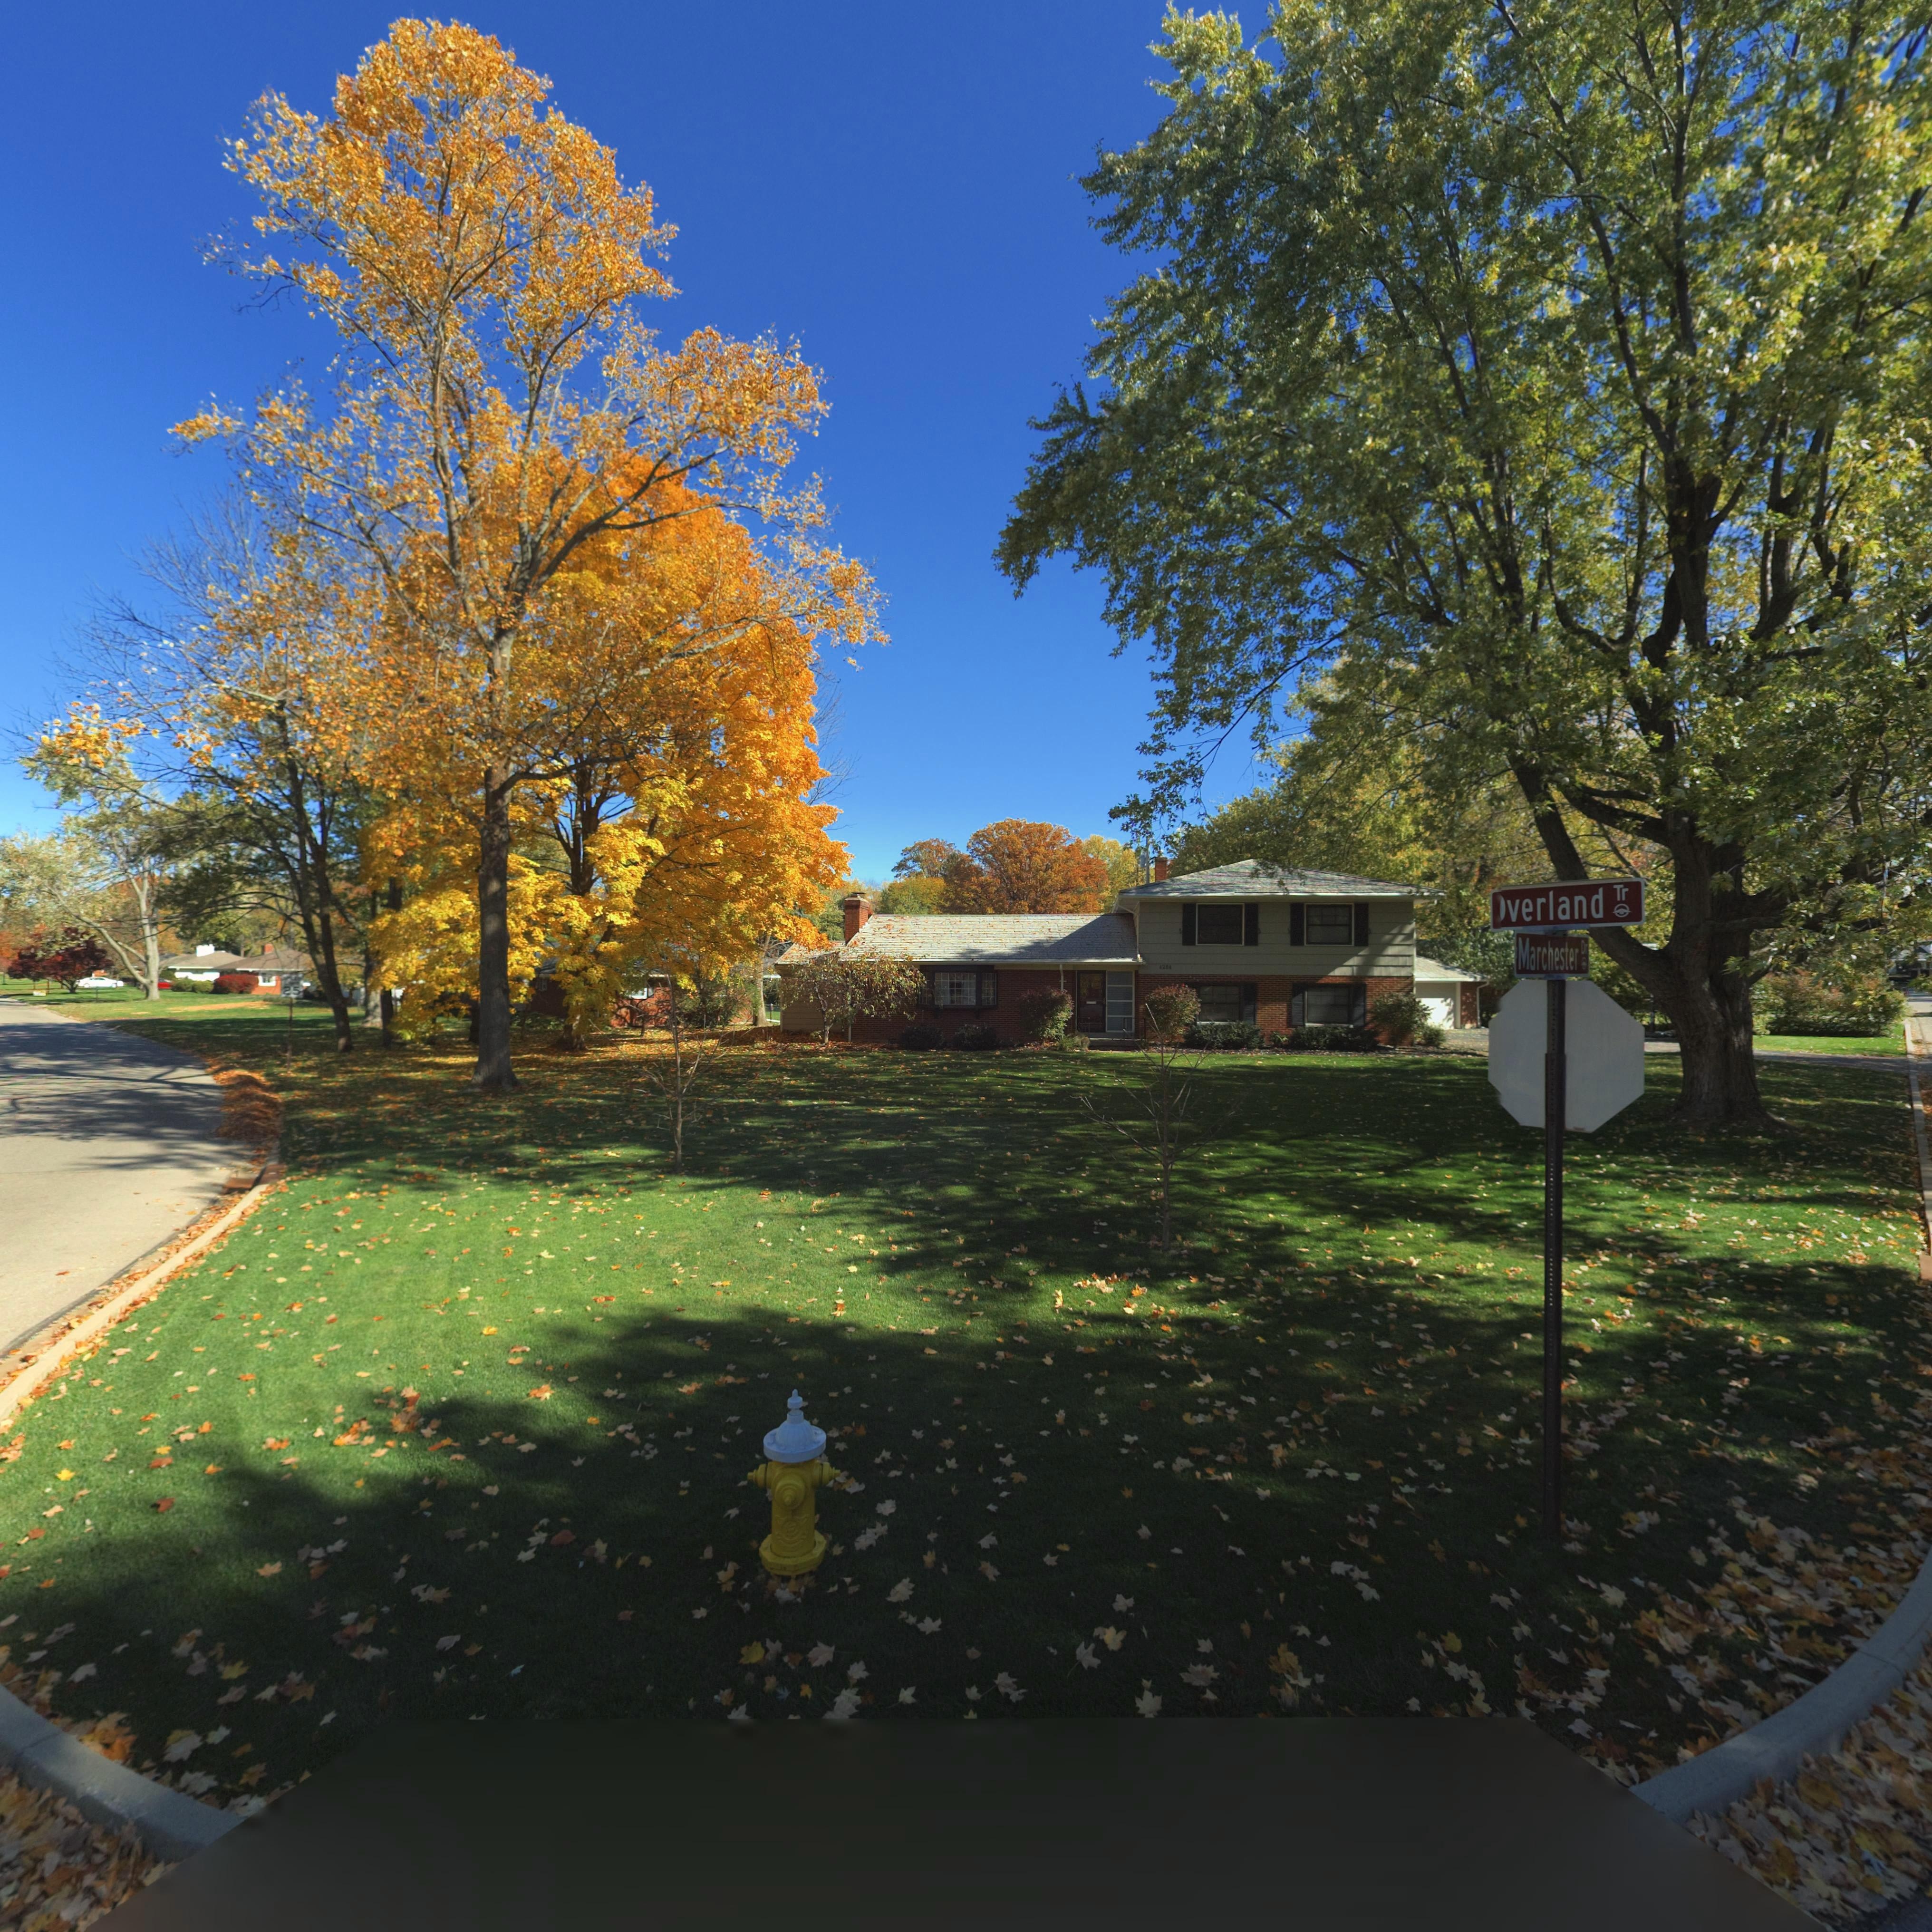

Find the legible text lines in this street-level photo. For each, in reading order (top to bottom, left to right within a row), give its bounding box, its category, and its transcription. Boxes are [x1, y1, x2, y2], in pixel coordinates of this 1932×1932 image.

[1158, 964, 1172, 970] StreetNumber: 4284